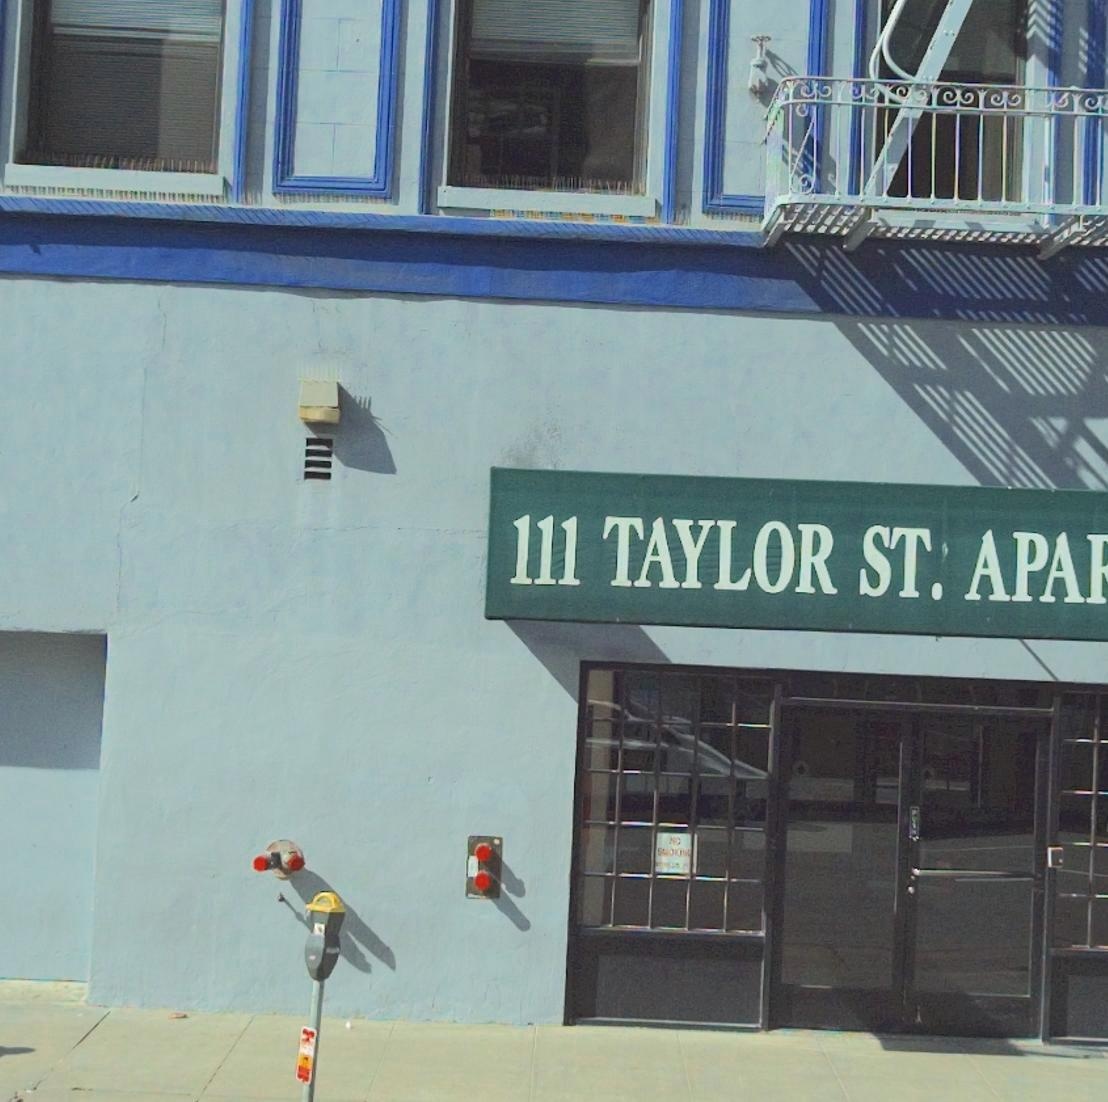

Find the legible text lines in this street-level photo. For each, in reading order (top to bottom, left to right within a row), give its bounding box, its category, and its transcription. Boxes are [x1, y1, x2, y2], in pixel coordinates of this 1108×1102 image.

[504, 510, 586, 590] StreetNumber: 111
[594, 510, 1092, 608] BusinessName: TAYLOR ST. APA
[910, 807, 919, 830] None: PUL
[655, 846, 684, 859] None: SMOKIN
[666, 833, 684, 849] None: NO